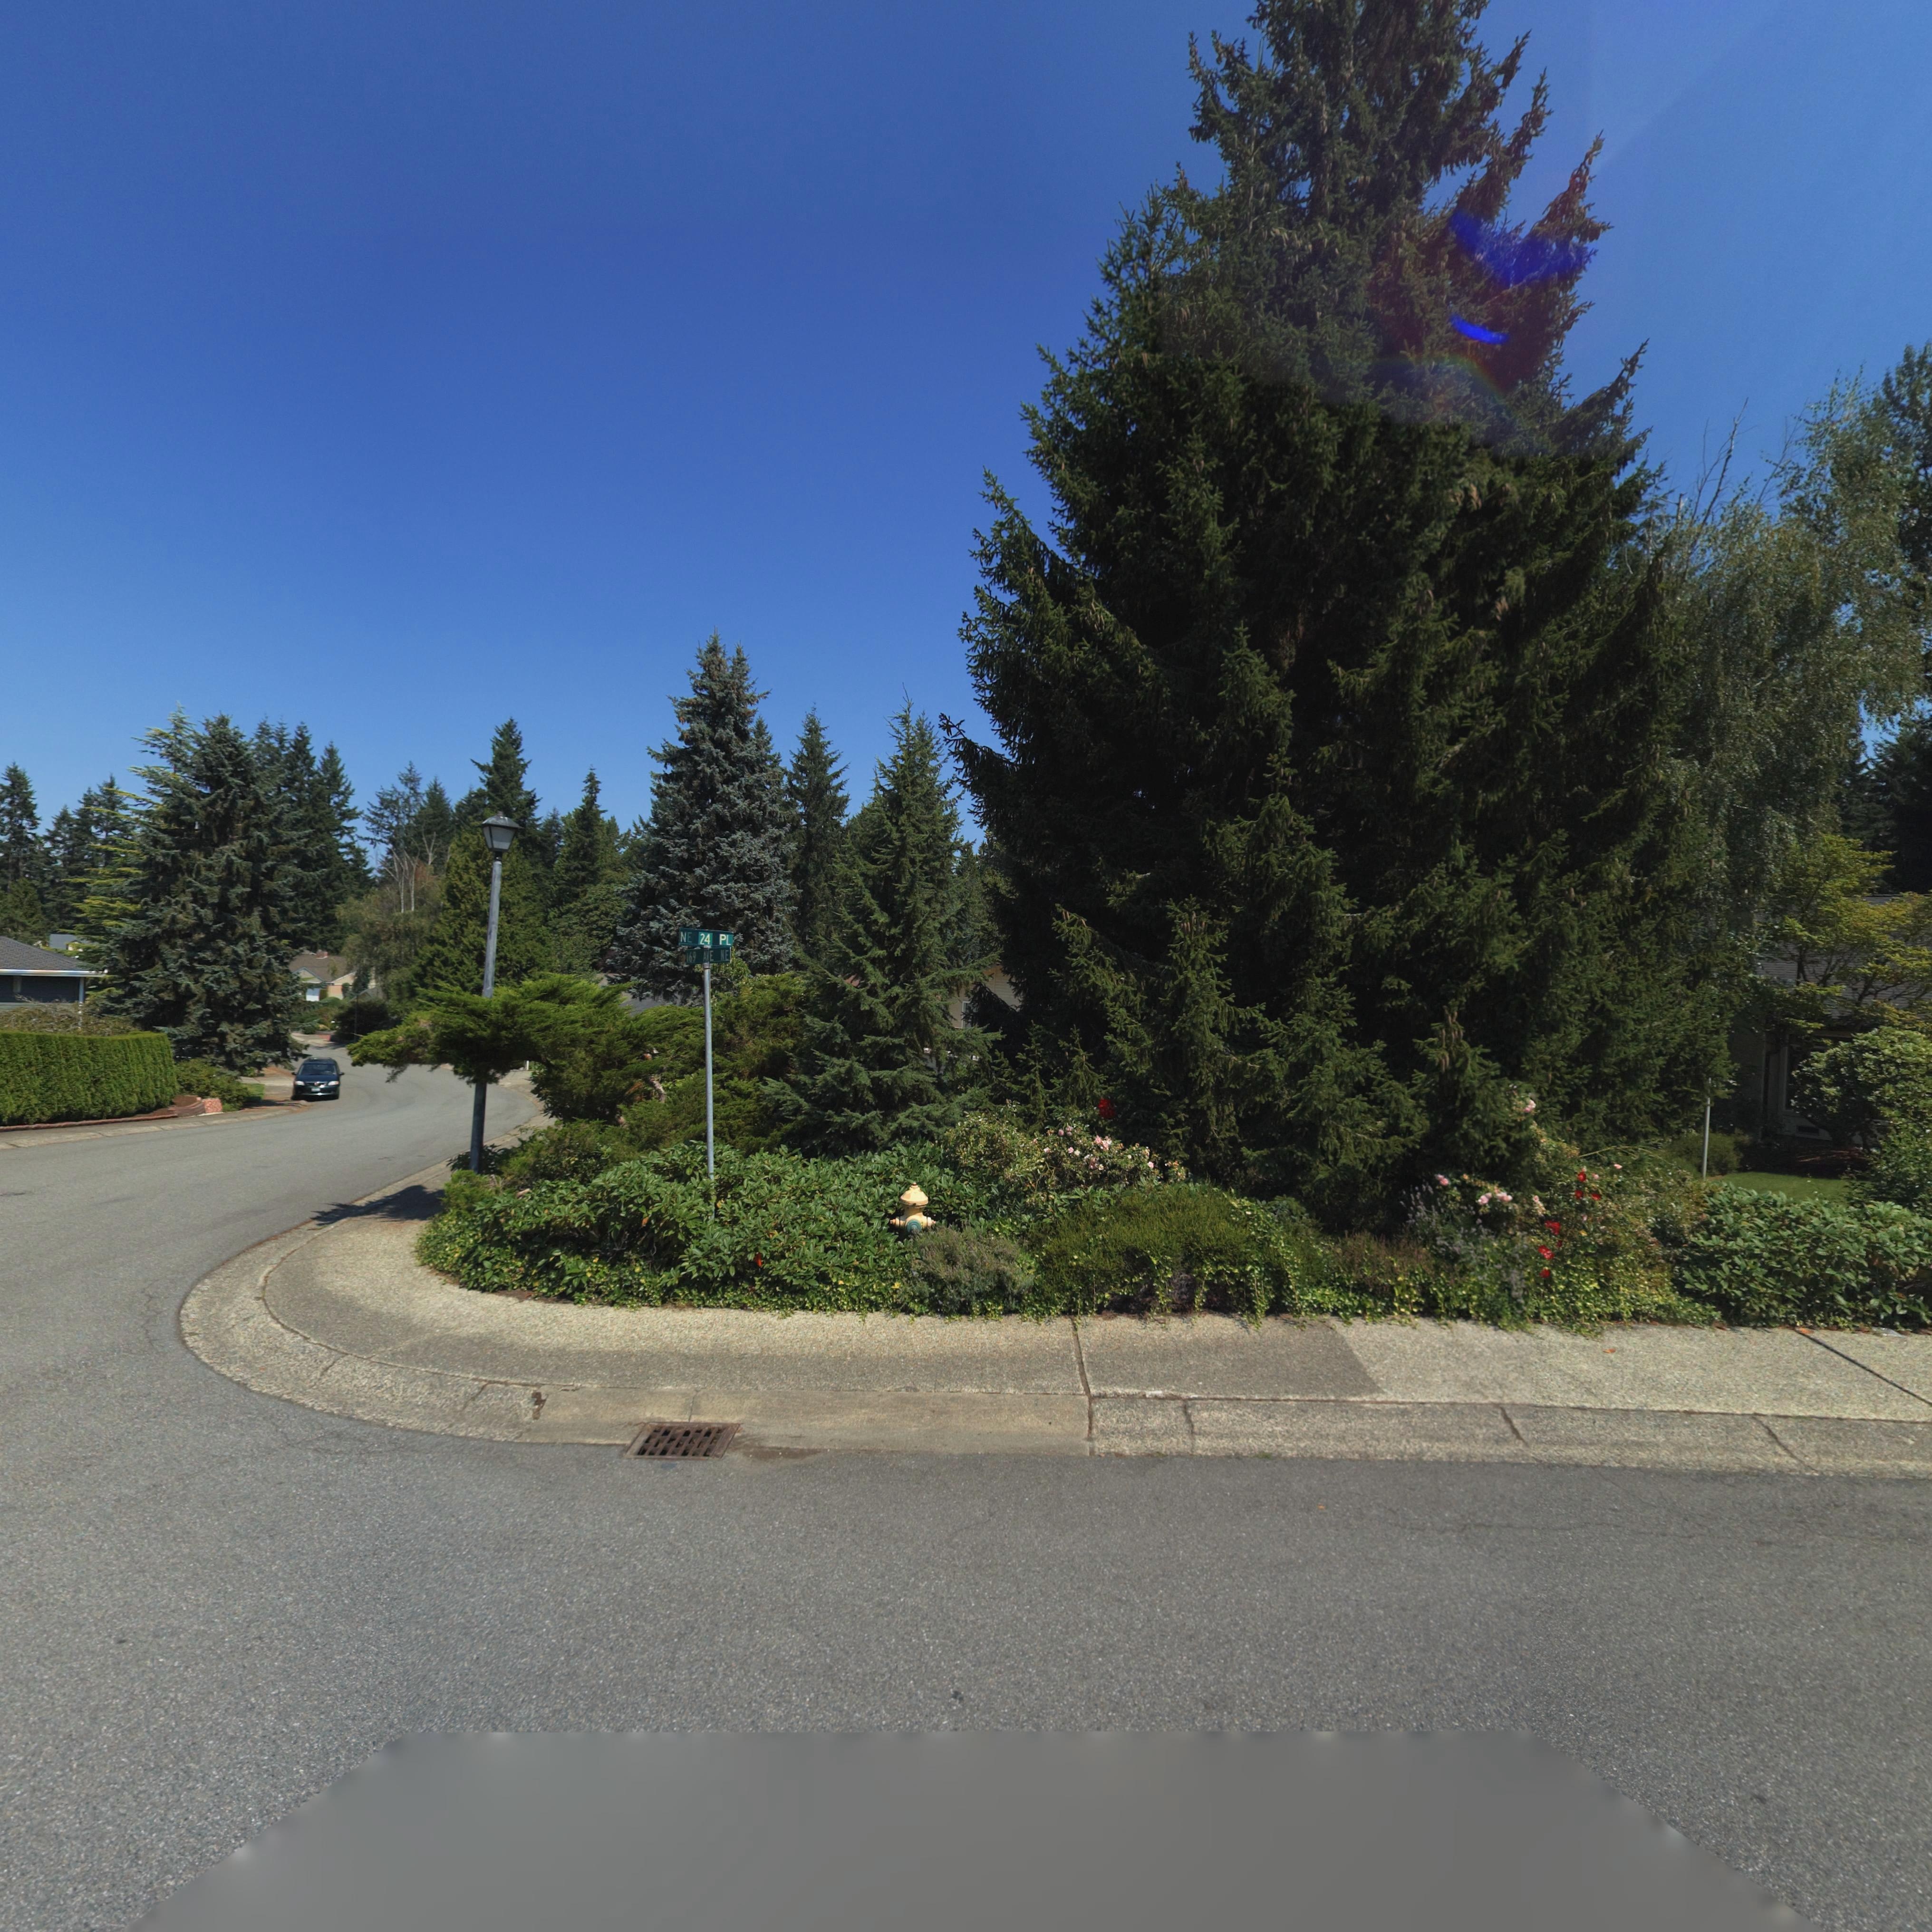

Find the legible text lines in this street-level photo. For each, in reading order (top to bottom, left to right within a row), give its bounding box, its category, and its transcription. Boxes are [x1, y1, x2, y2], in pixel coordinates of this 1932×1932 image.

[678, 931, 731, 945] StreetName: NE 24 FL
[685, 948, 729, 964] StreetName: 169 AVE NE